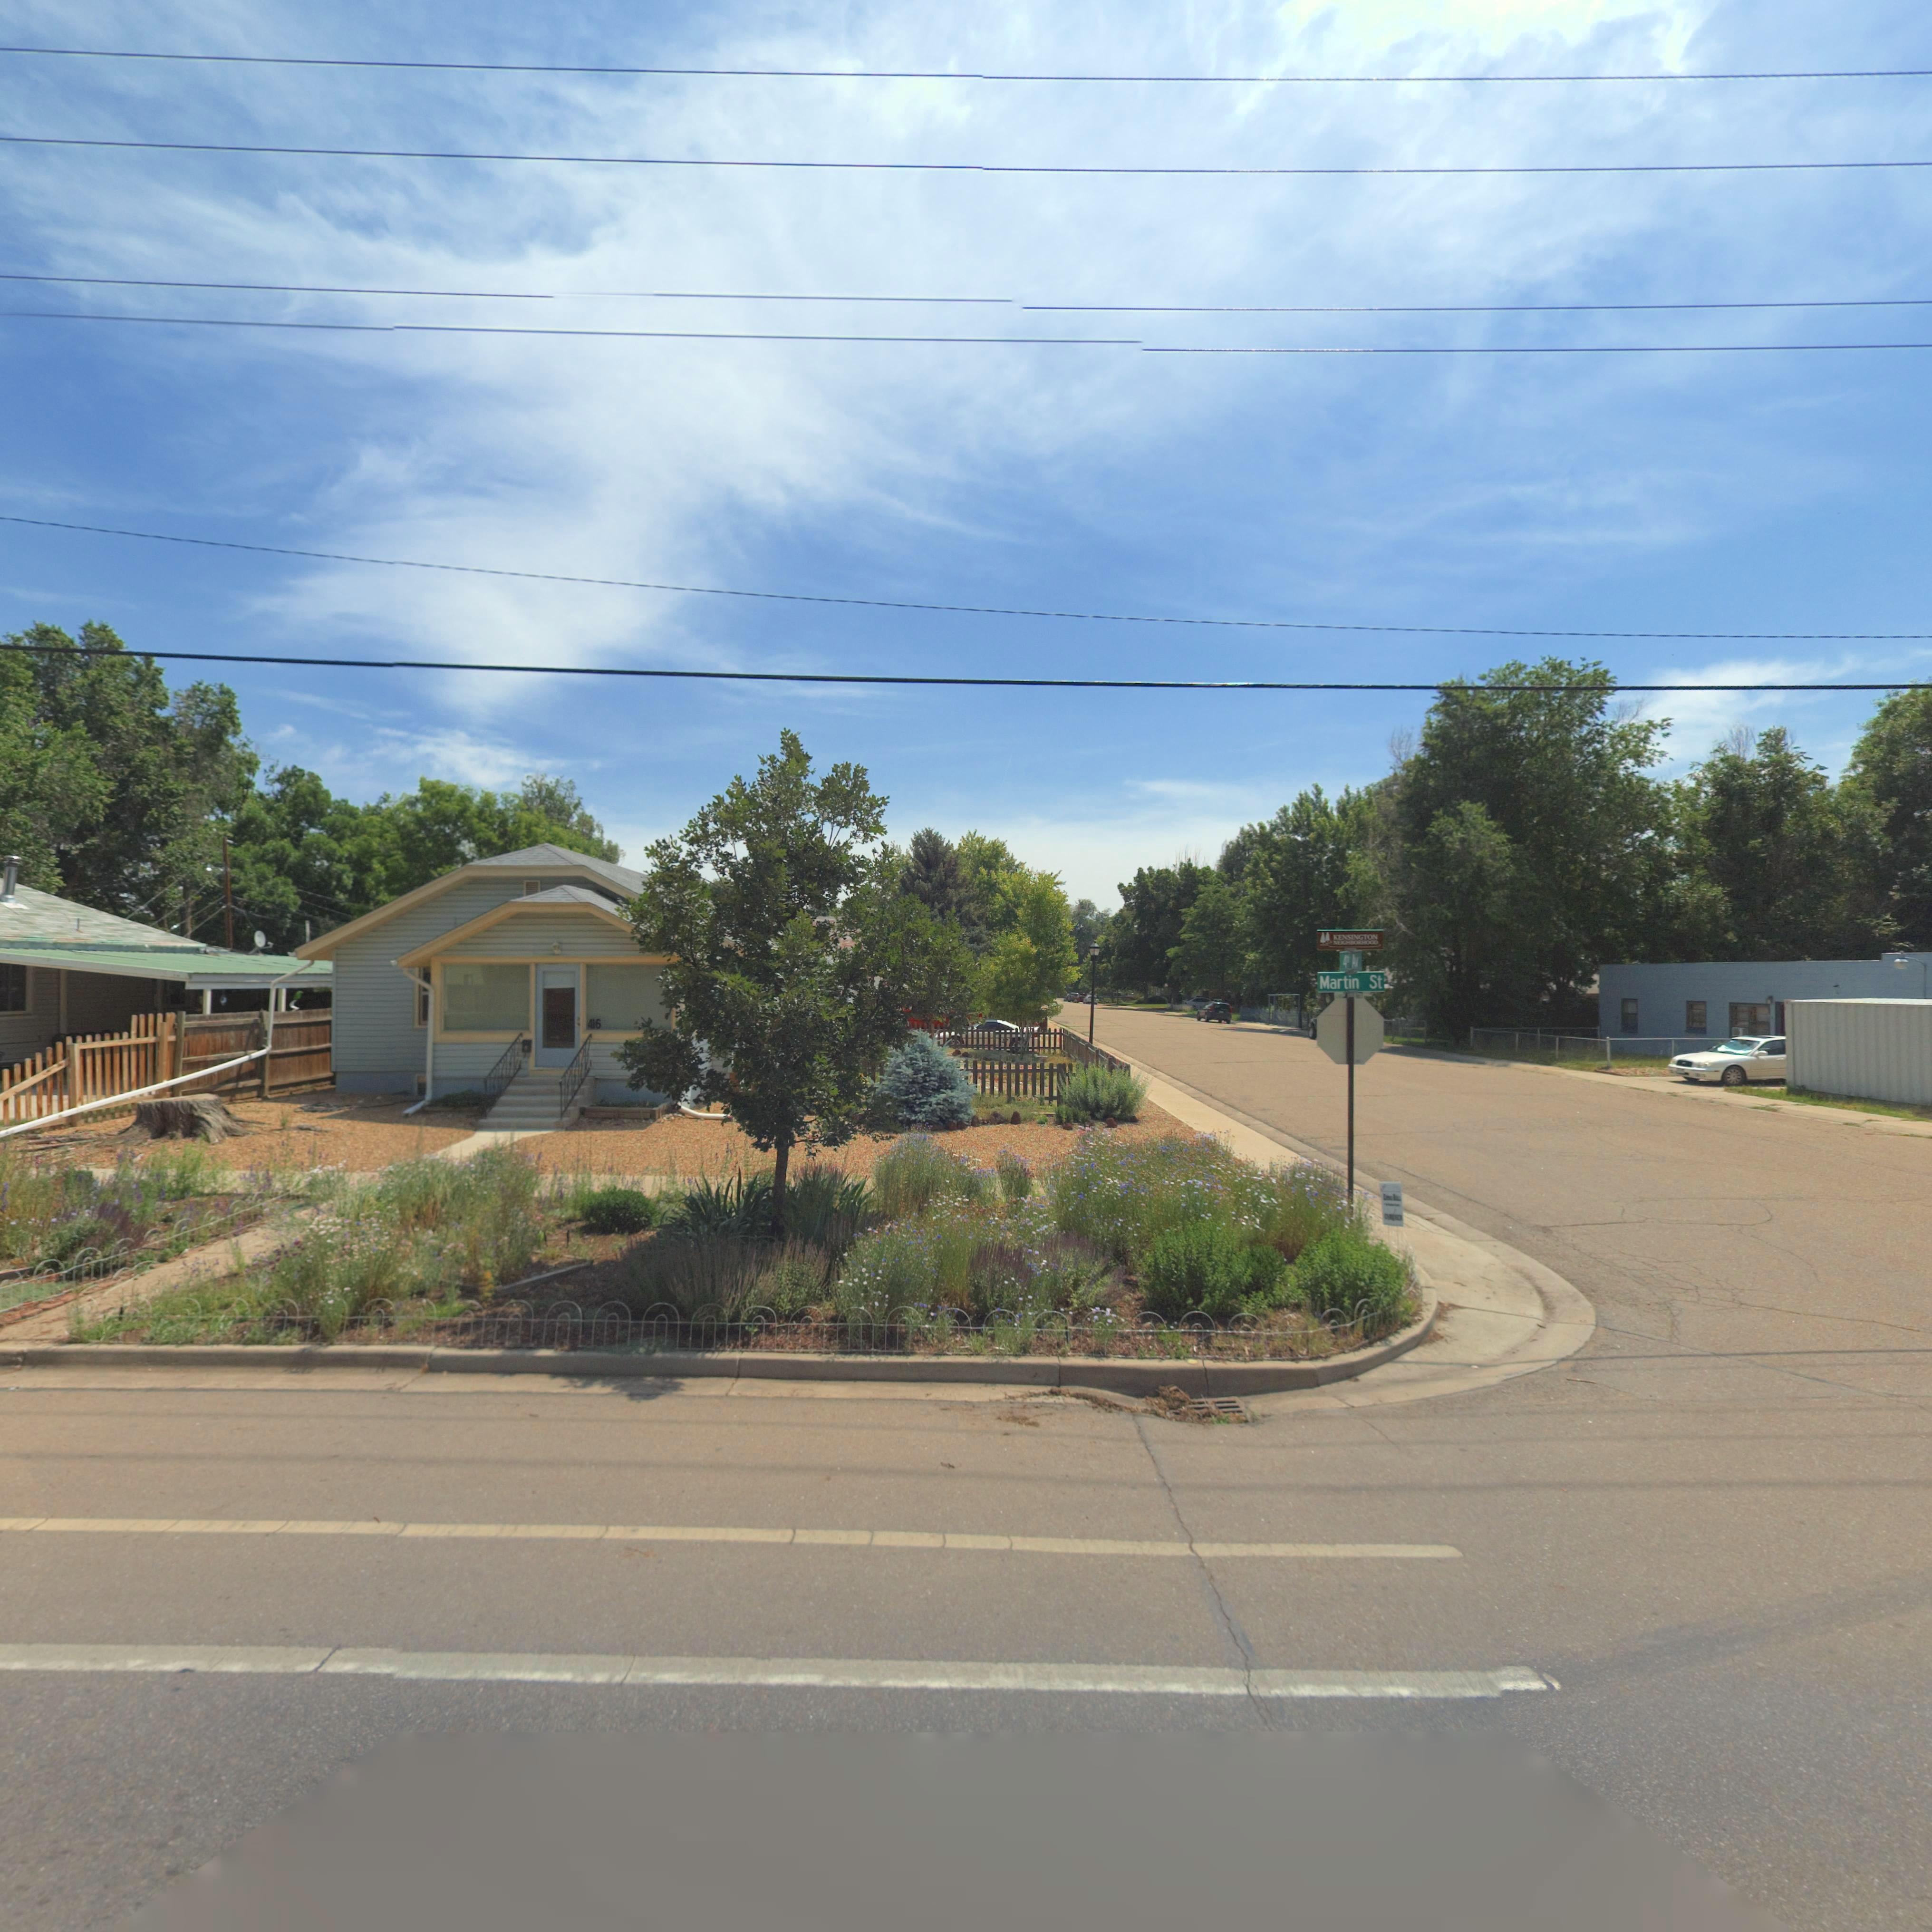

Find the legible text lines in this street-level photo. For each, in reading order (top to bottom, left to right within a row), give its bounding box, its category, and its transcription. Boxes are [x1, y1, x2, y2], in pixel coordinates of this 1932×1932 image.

[1343, 953, 1359, 968] StreetName: 4** Av
[1319, 975, 1382, 989] StreetName: Martin St
[587, 1019, 601, 1029] StreetNumber: 416